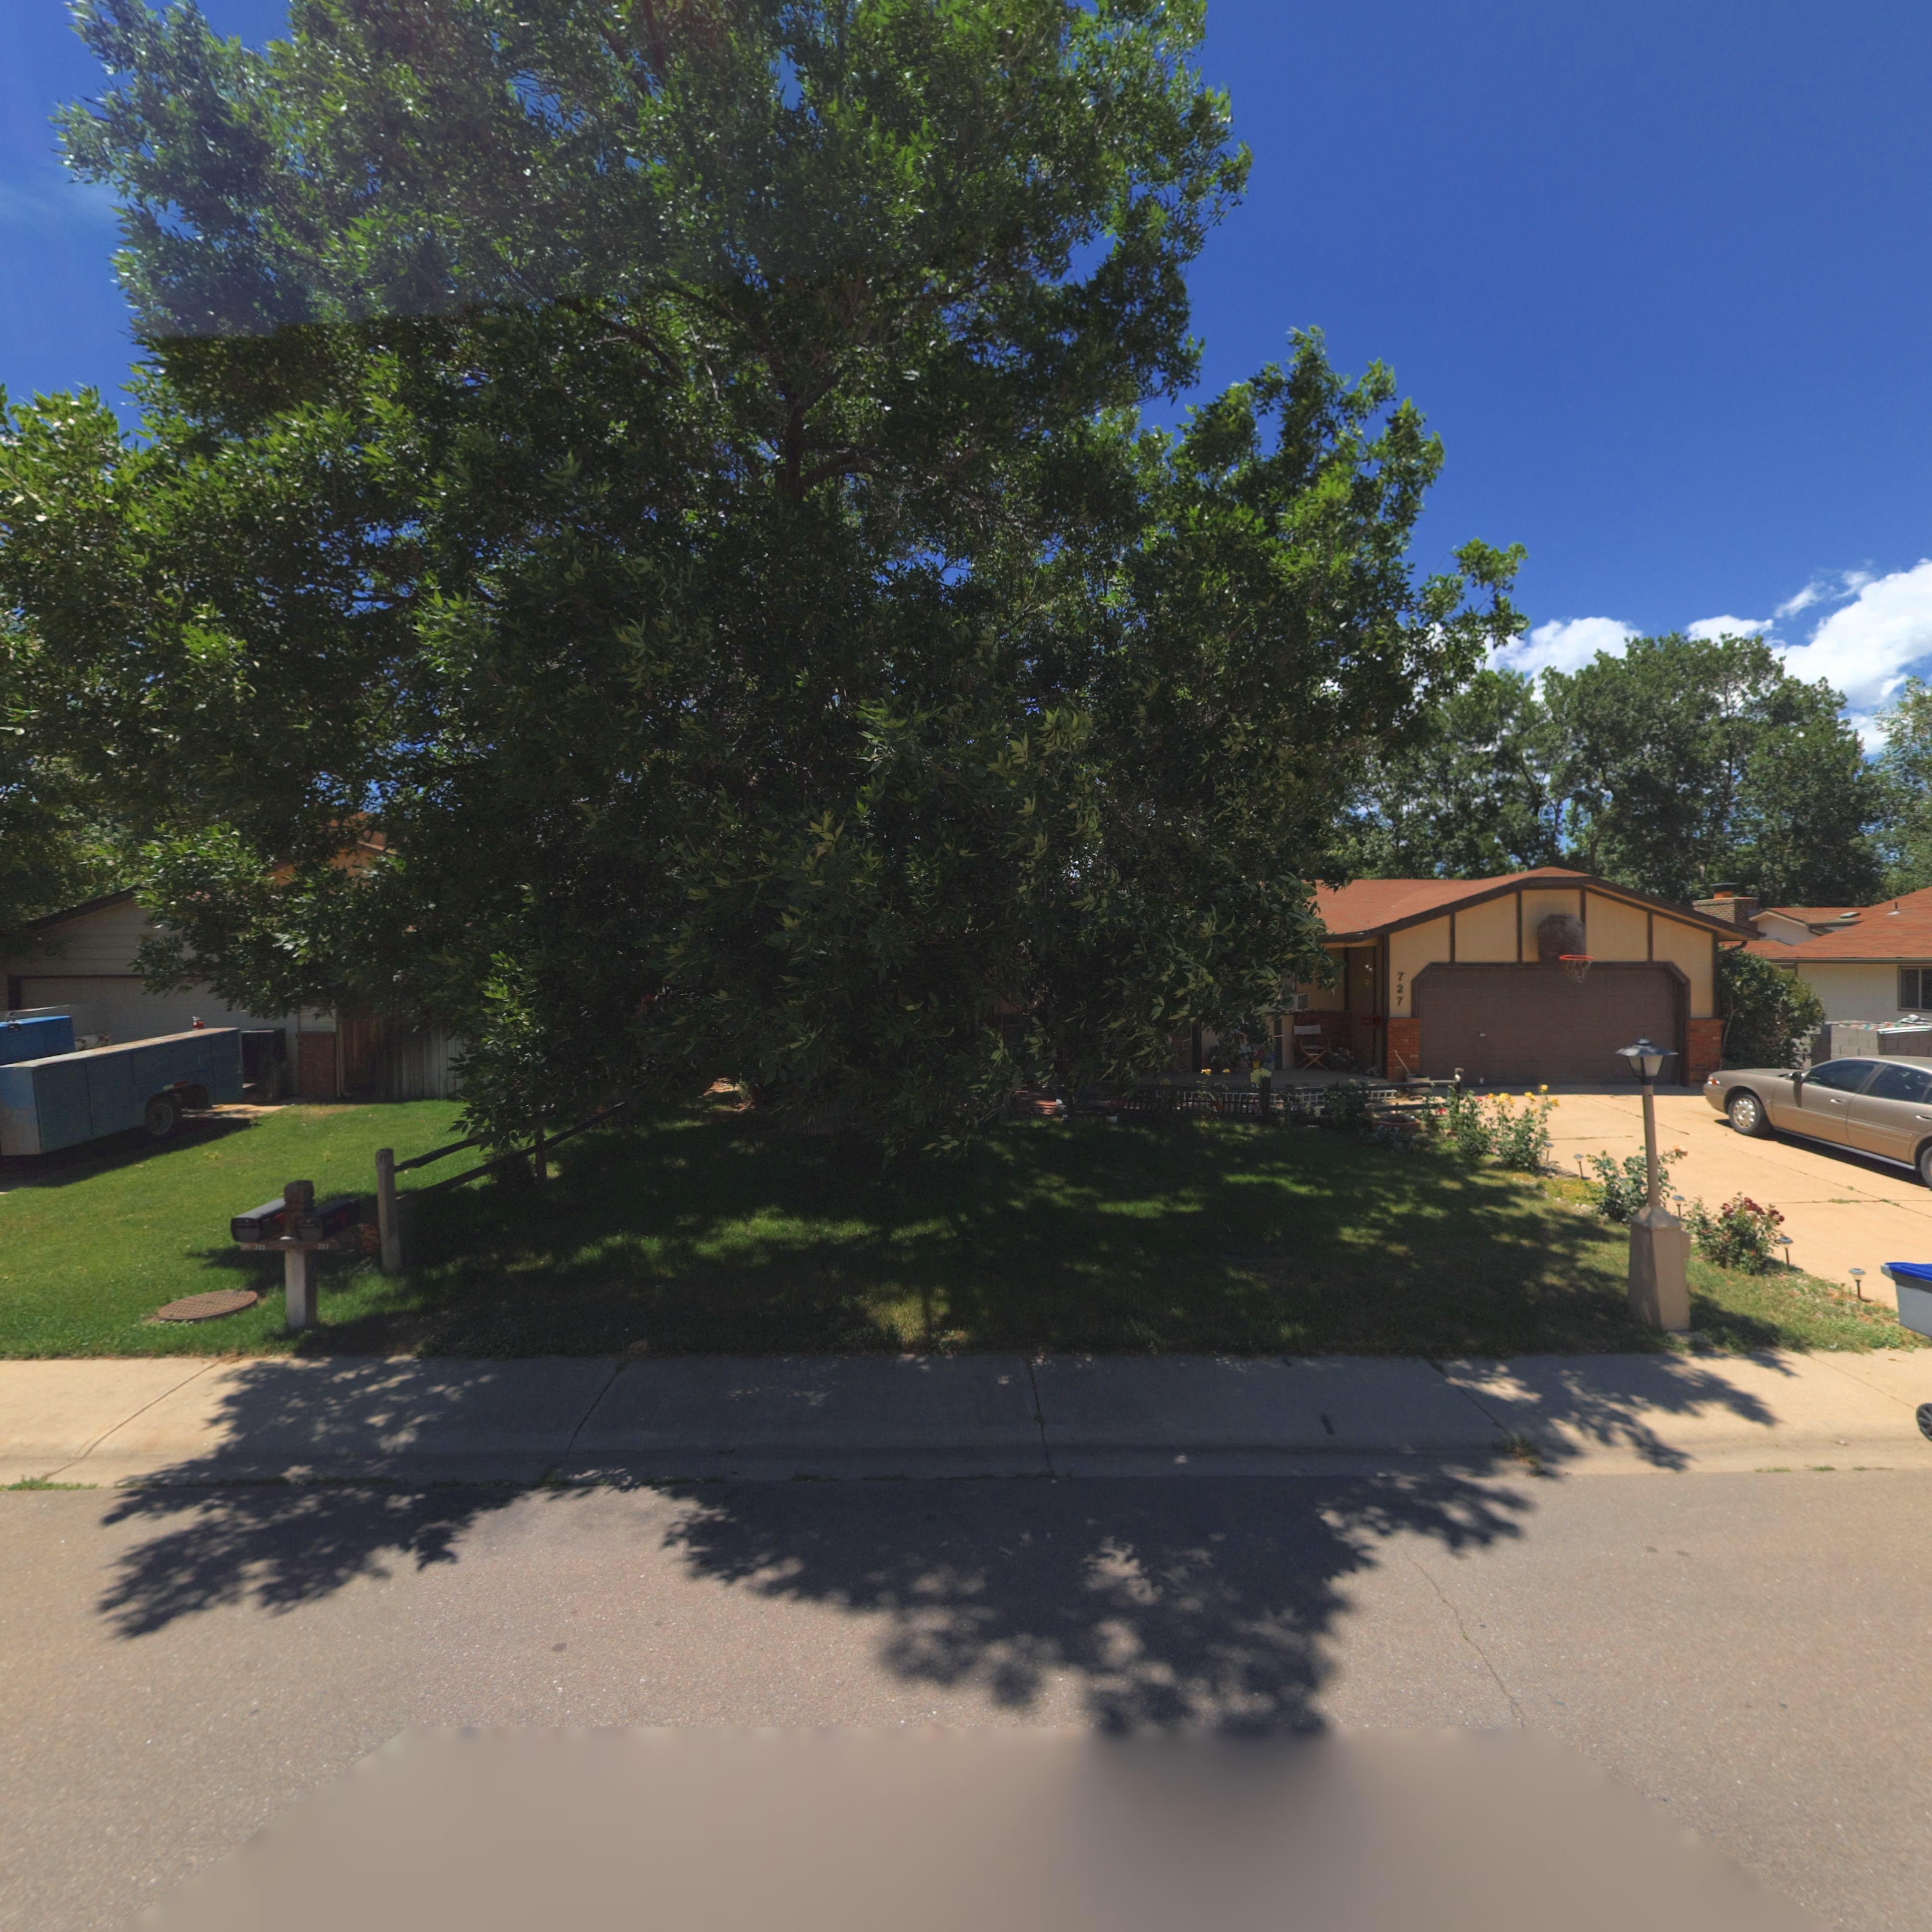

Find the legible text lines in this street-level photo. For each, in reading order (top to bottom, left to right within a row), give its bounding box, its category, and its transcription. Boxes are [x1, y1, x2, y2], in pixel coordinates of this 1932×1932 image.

[1396, 970, 1405, 1006] StreetNumber: 727
[254, 1244, 265, 1250] StreetNumber: 72*
[318, 1243, 329, 1249] StreetNumber: 727